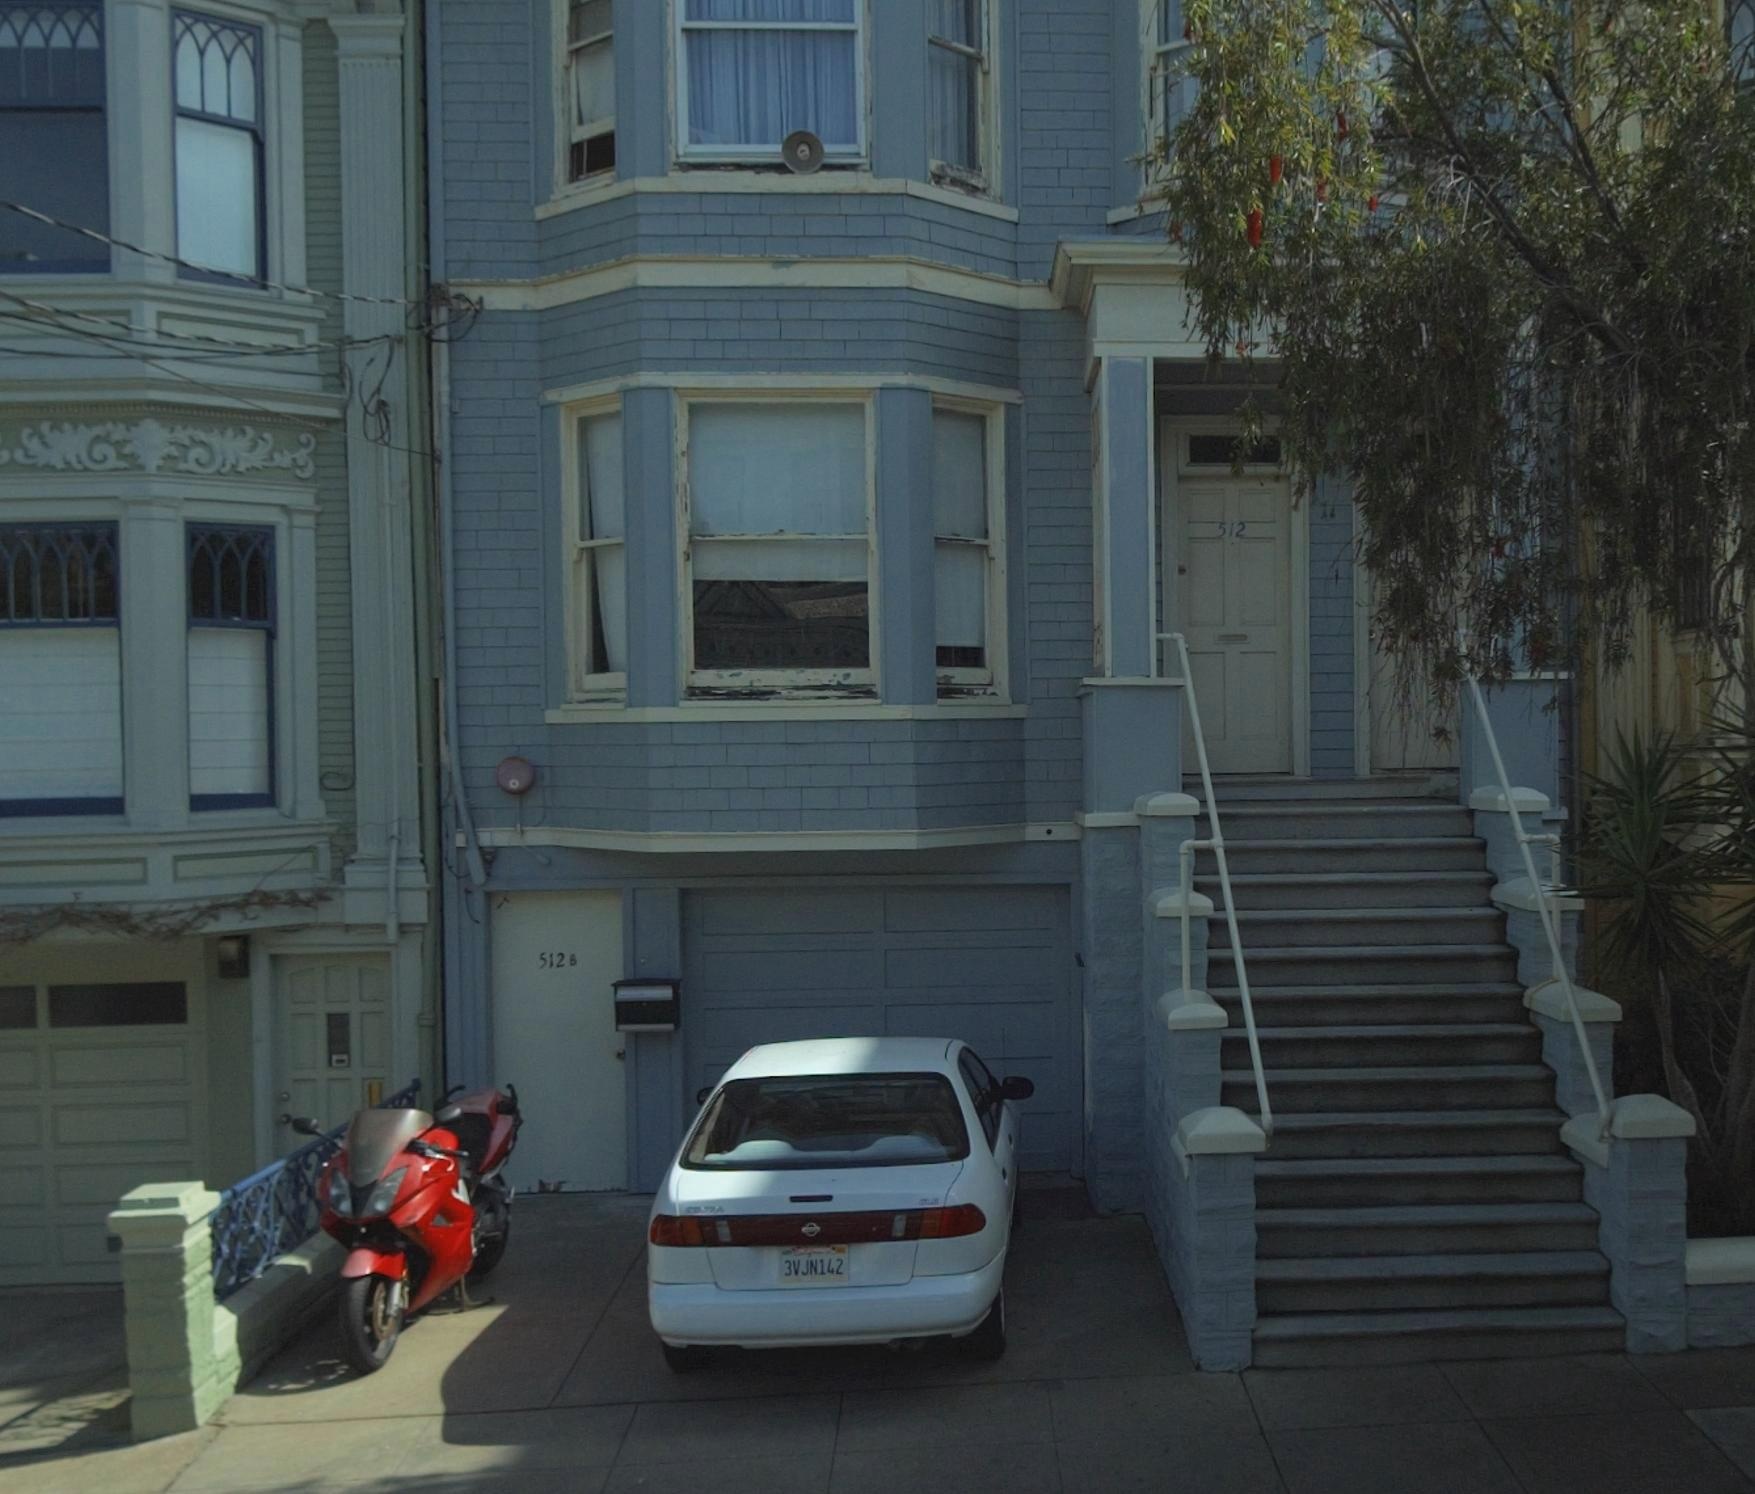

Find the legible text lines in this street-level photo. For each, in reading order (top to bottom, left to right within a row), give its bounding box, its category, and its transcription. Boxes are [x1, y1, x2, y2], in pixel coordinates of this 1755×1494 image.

[1216, 520, 1248, 540] StreetNumber: 512
[537, 950, 579, 970] StreetNumber: 512 B
[781, 1255, 846, 1279] None: 3VJN142